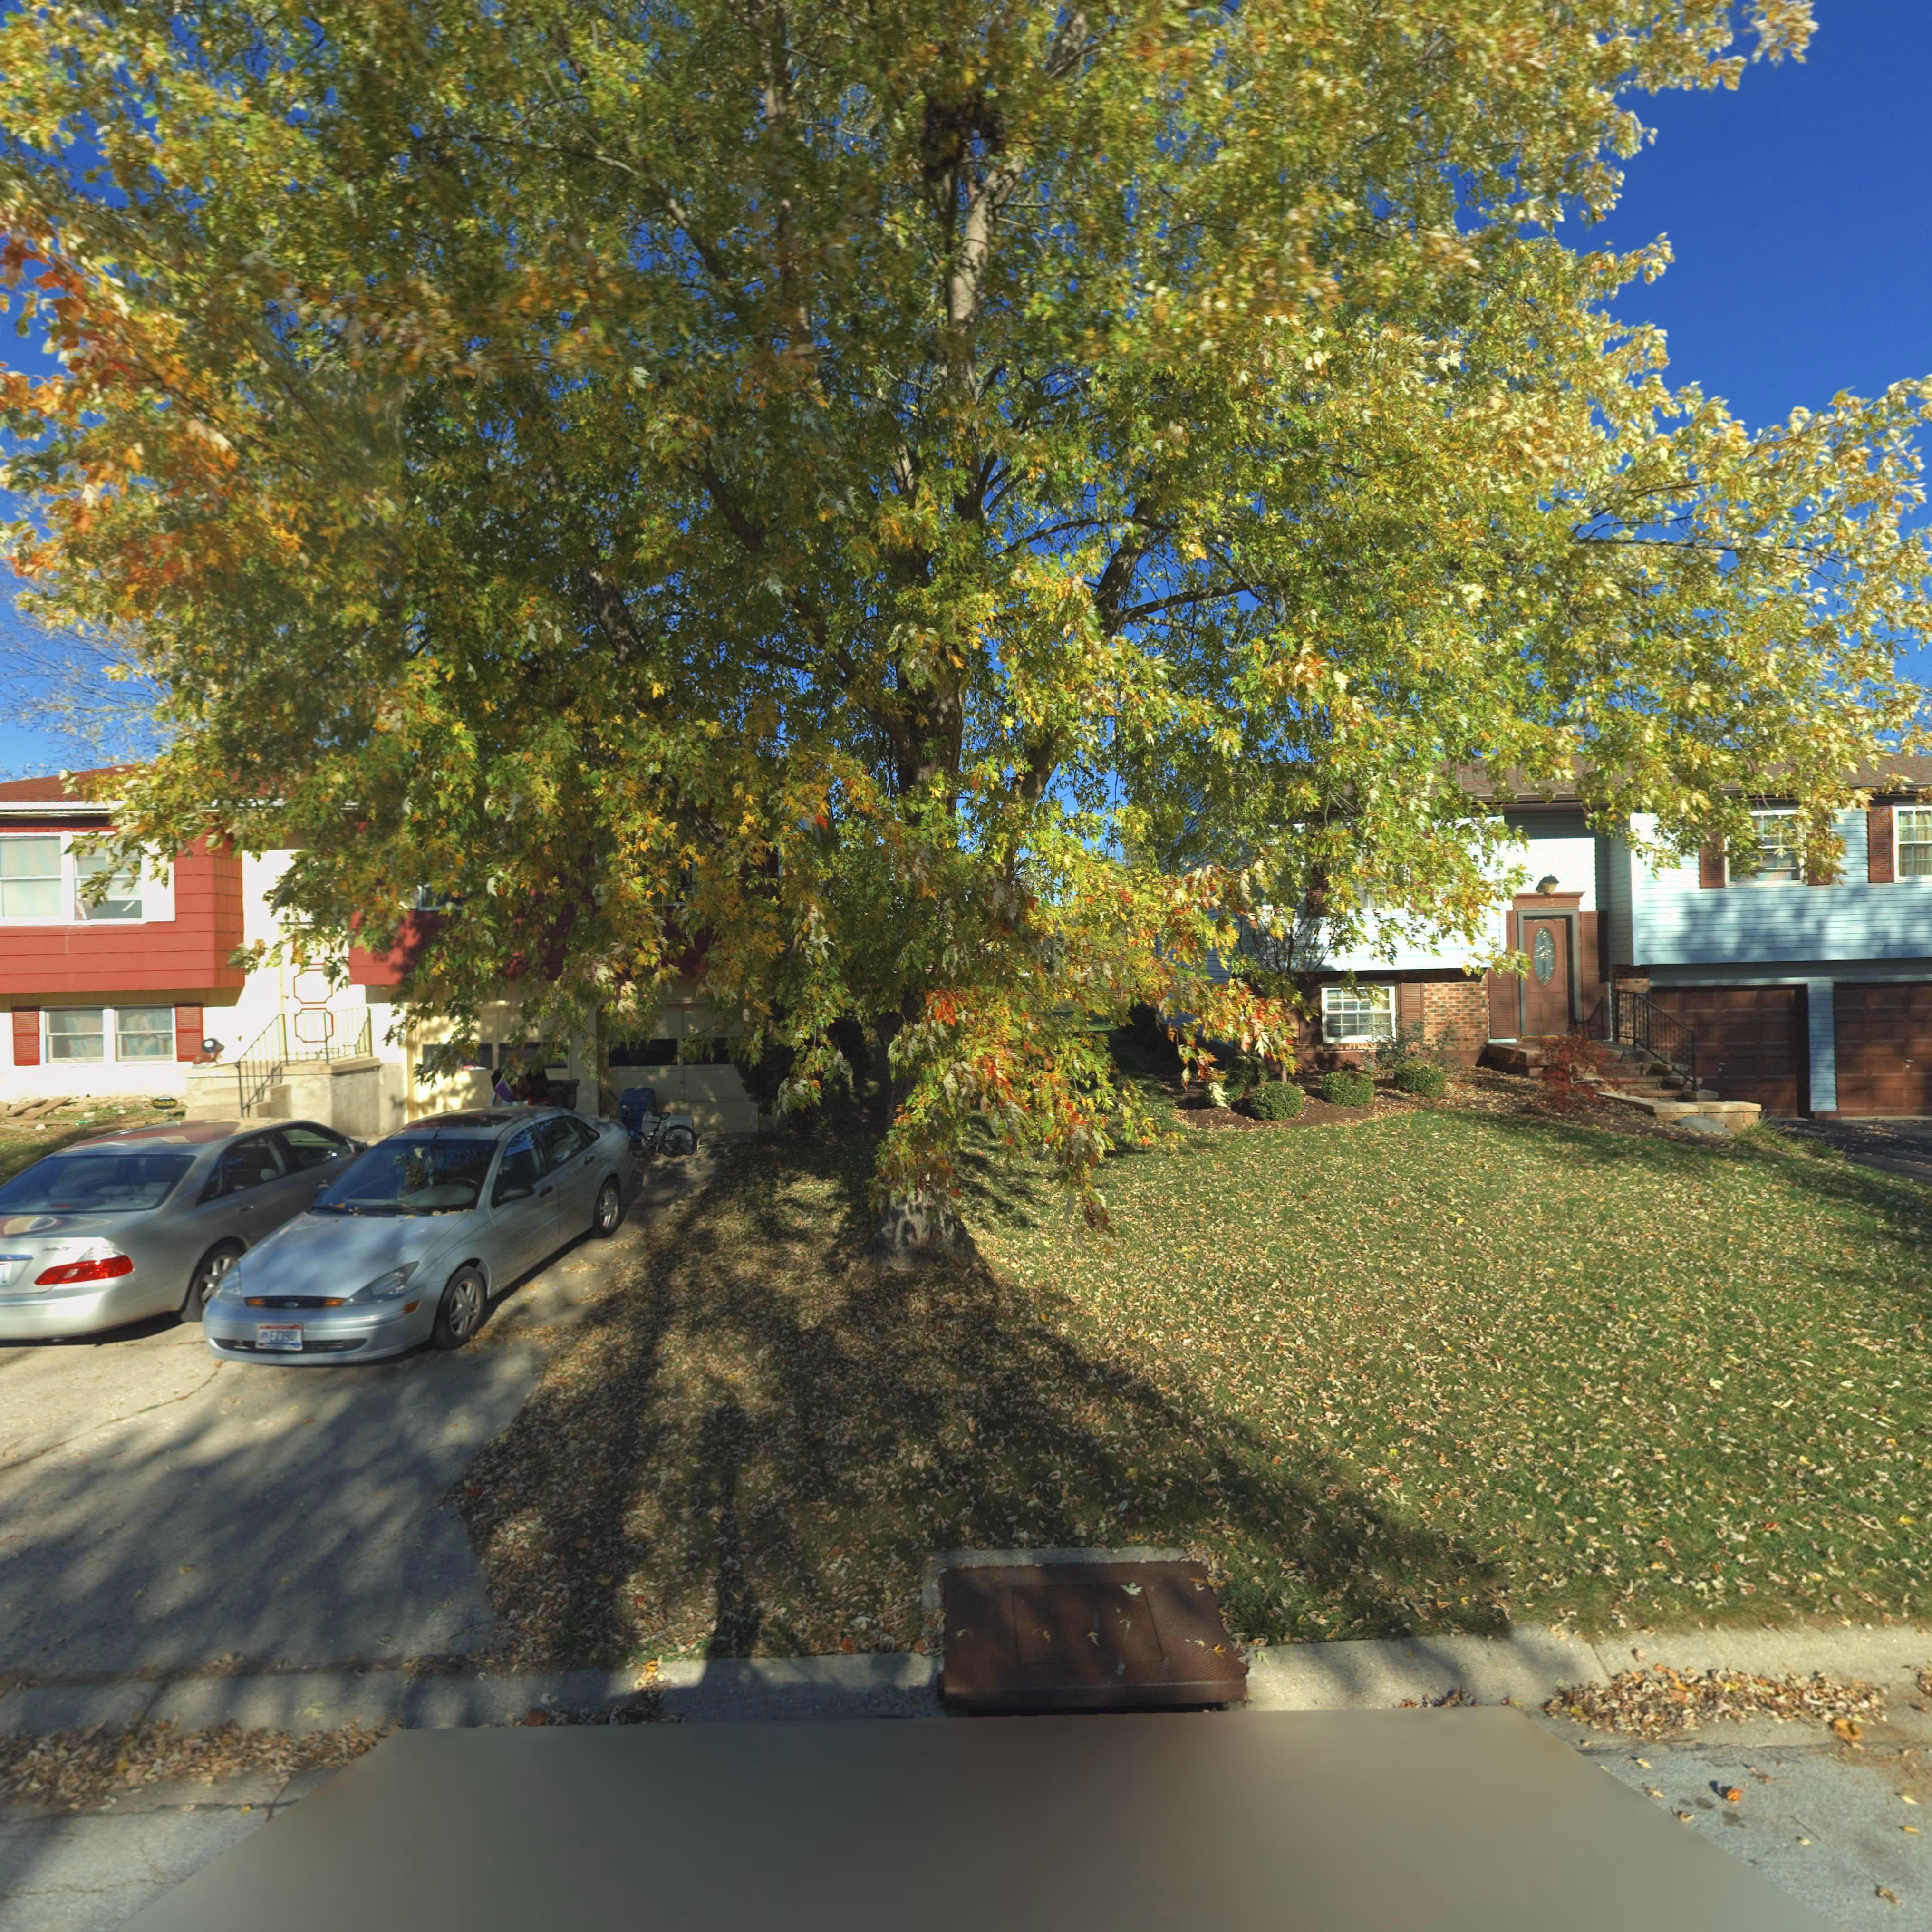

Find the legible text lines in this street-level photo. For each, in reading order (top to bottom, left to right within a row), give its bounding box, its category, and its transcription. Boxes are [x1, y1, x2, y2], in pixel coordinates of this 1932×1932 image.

[1539, 898, 1555, 907] StreetNumber: 146